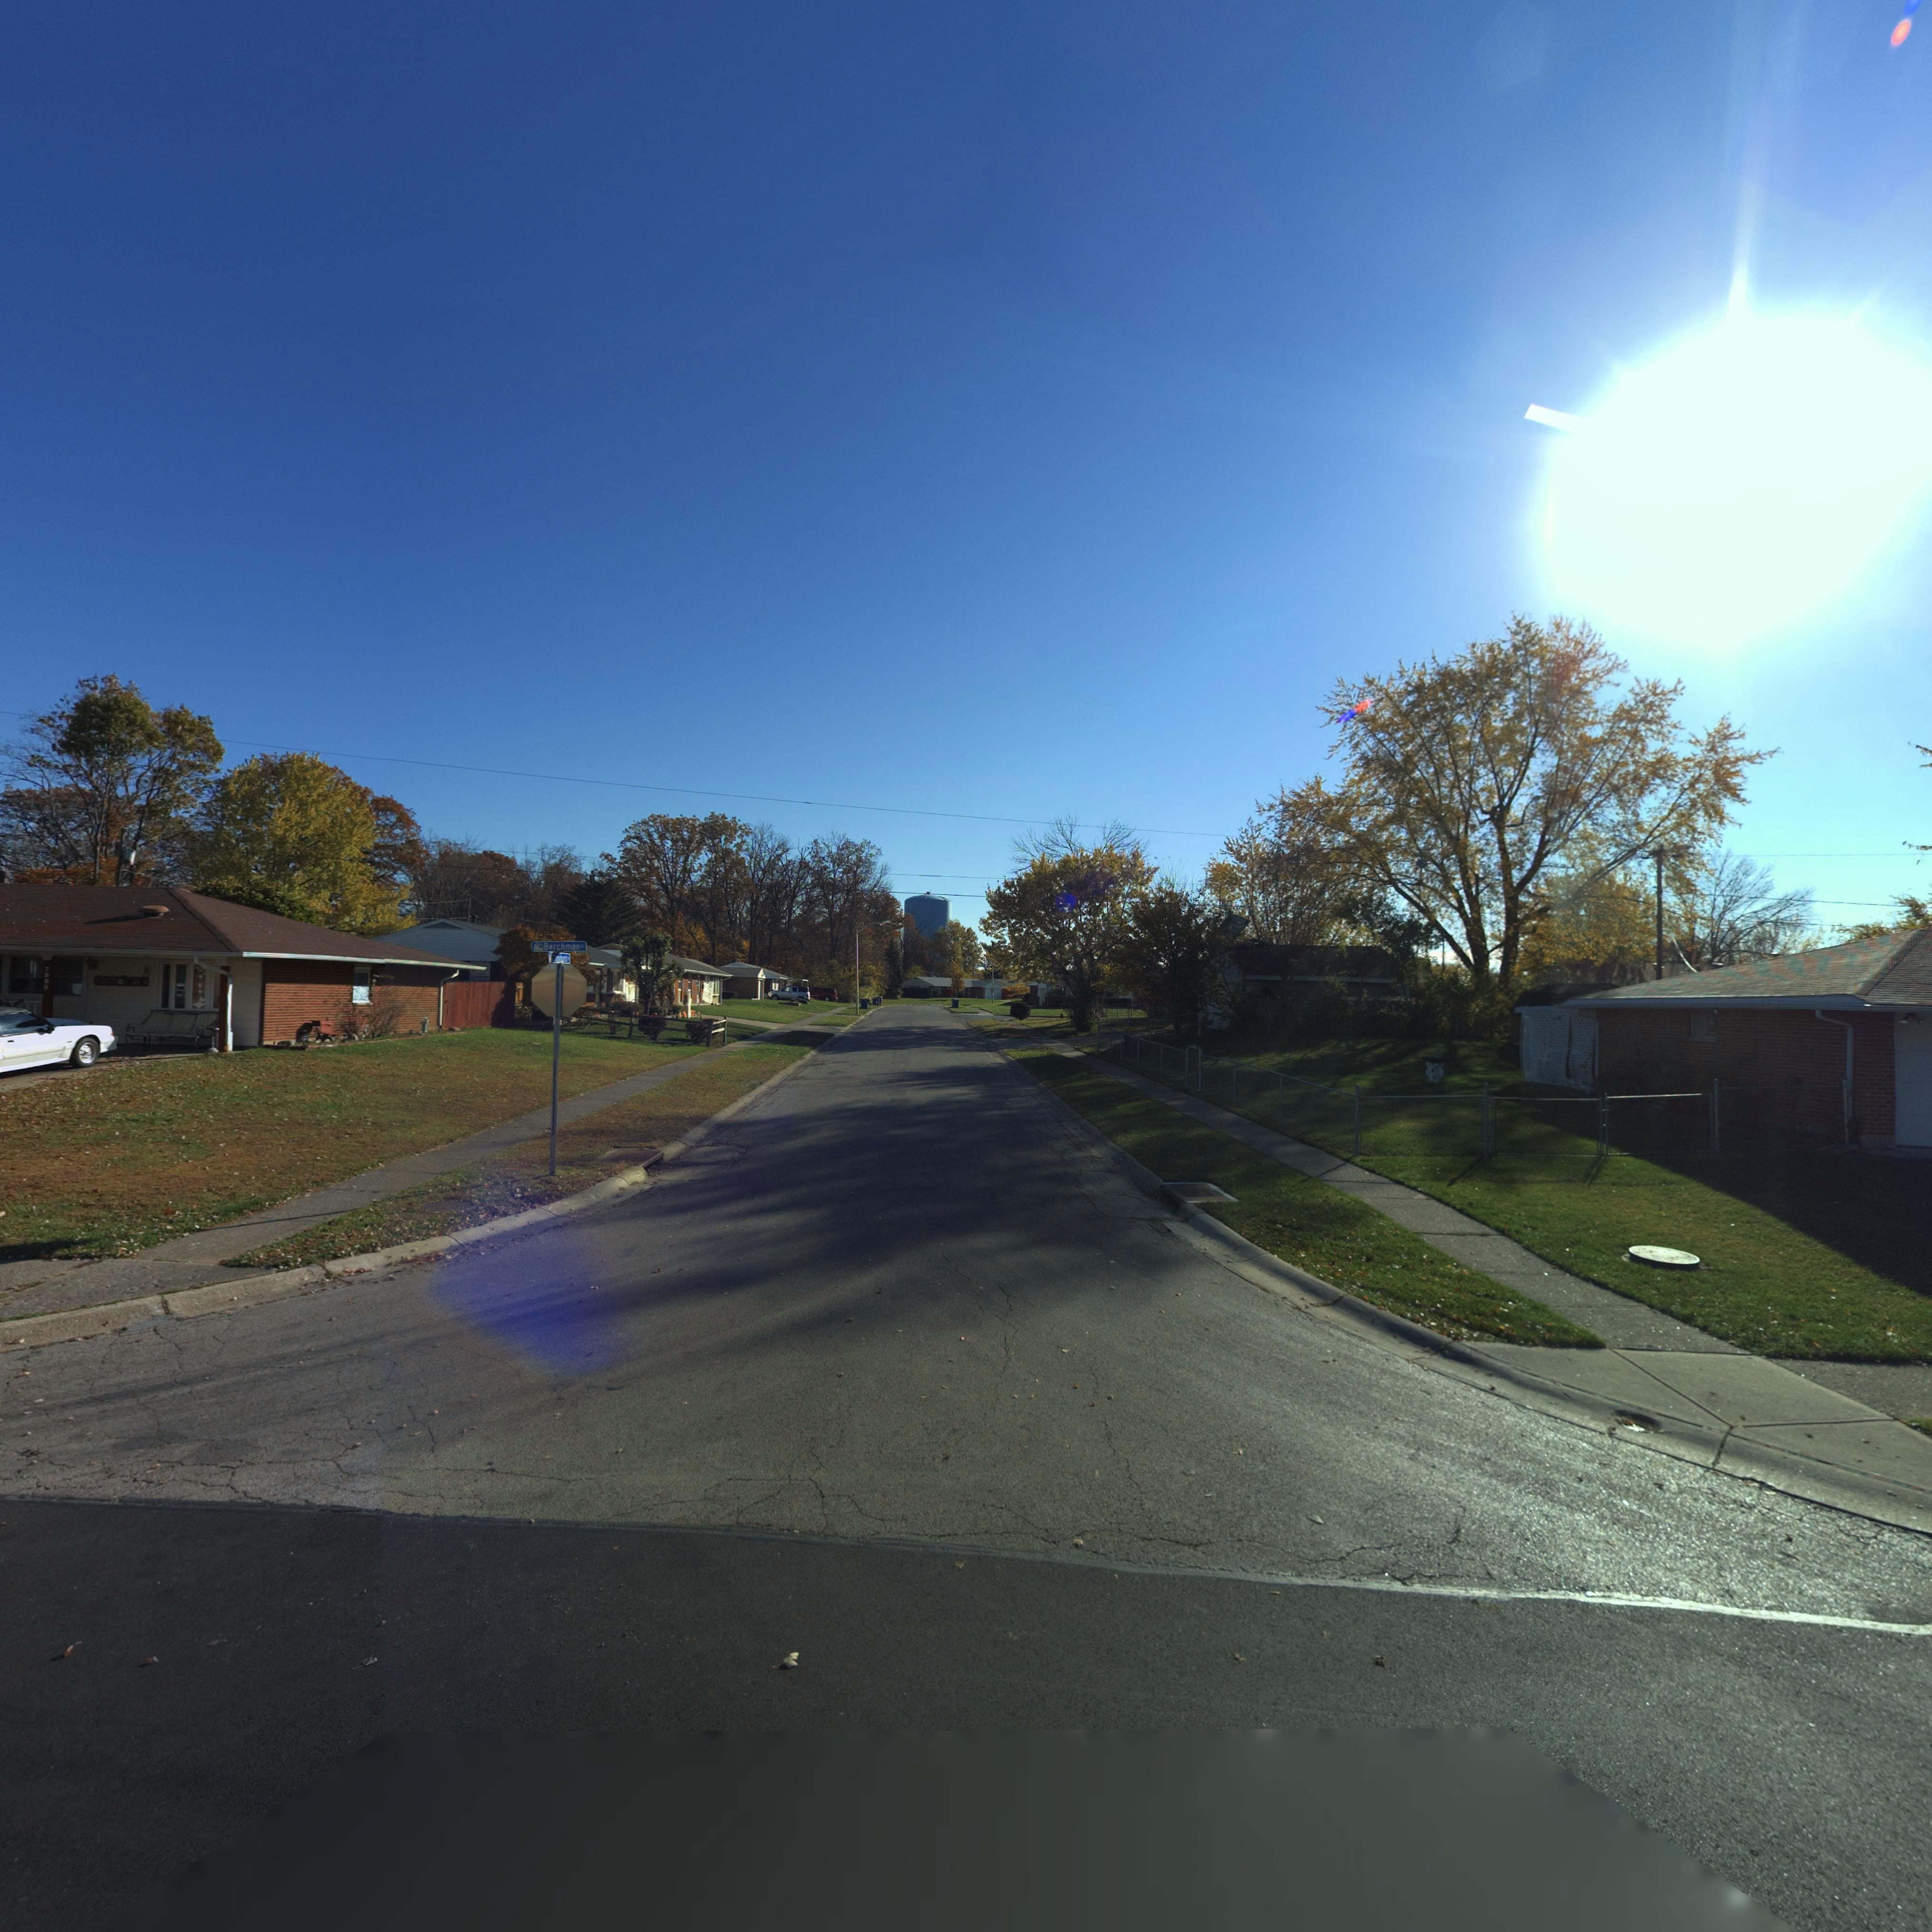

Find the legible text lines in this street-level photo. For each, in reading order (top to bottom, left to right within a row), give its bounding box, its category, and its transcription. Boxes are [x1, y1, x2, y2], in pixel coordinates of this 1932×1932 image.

[42, 966, 51, 992] StreetNumber: 7*00